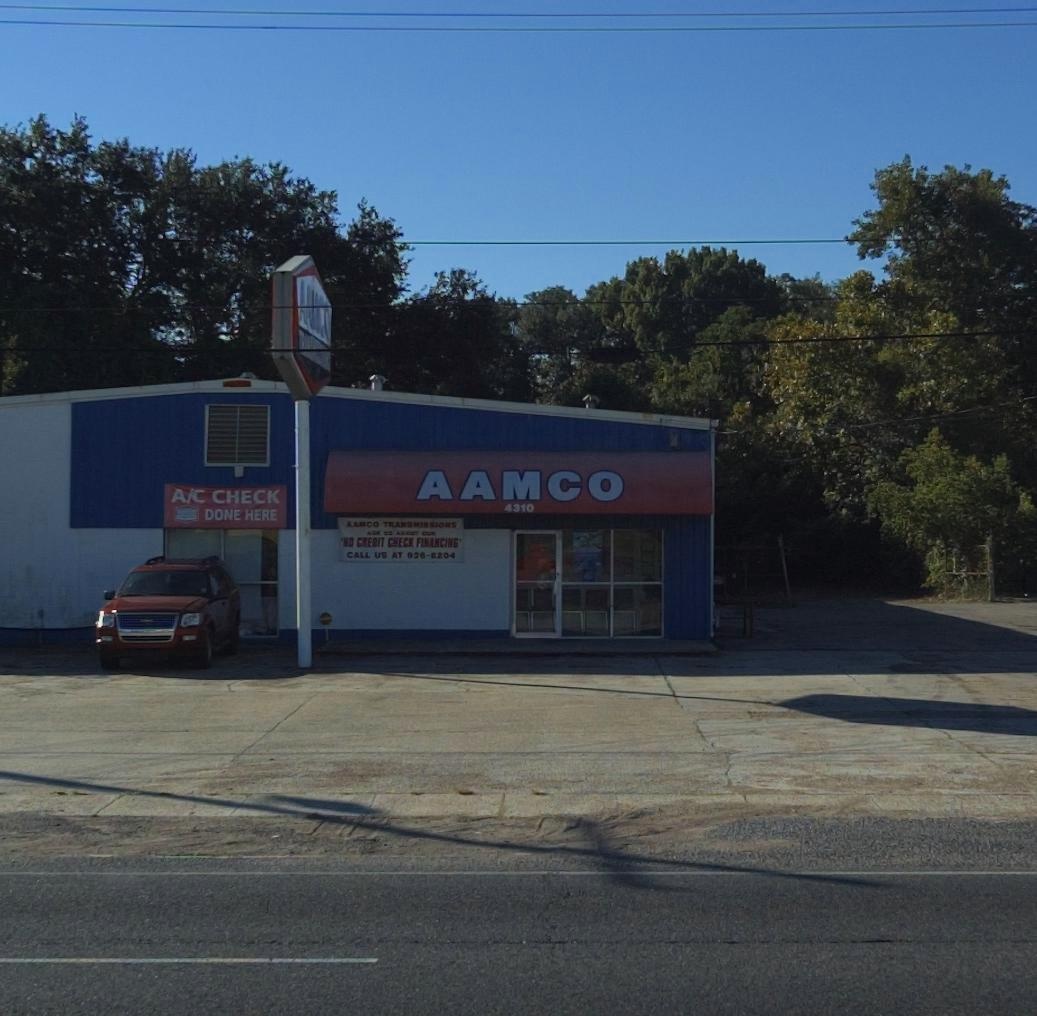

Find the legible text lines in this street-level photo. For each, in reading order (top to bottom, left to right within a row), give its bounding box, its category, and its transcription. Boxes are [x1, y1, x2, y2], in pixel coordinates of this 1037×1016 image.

[413, 468, 626, 504] BusinessName: AAMCO
[168, 486, 283, 506] None: A/C CHECK
[203, 507, 279, 523] None: DONE HERE
[502, 501, 536, 515] StreetNumber: 4310
[341, 535, 460, 550] None: NO CREDIT CHECK FINANCING
[344, 549, 457, 560] None: CALL US AT *26-*2*4